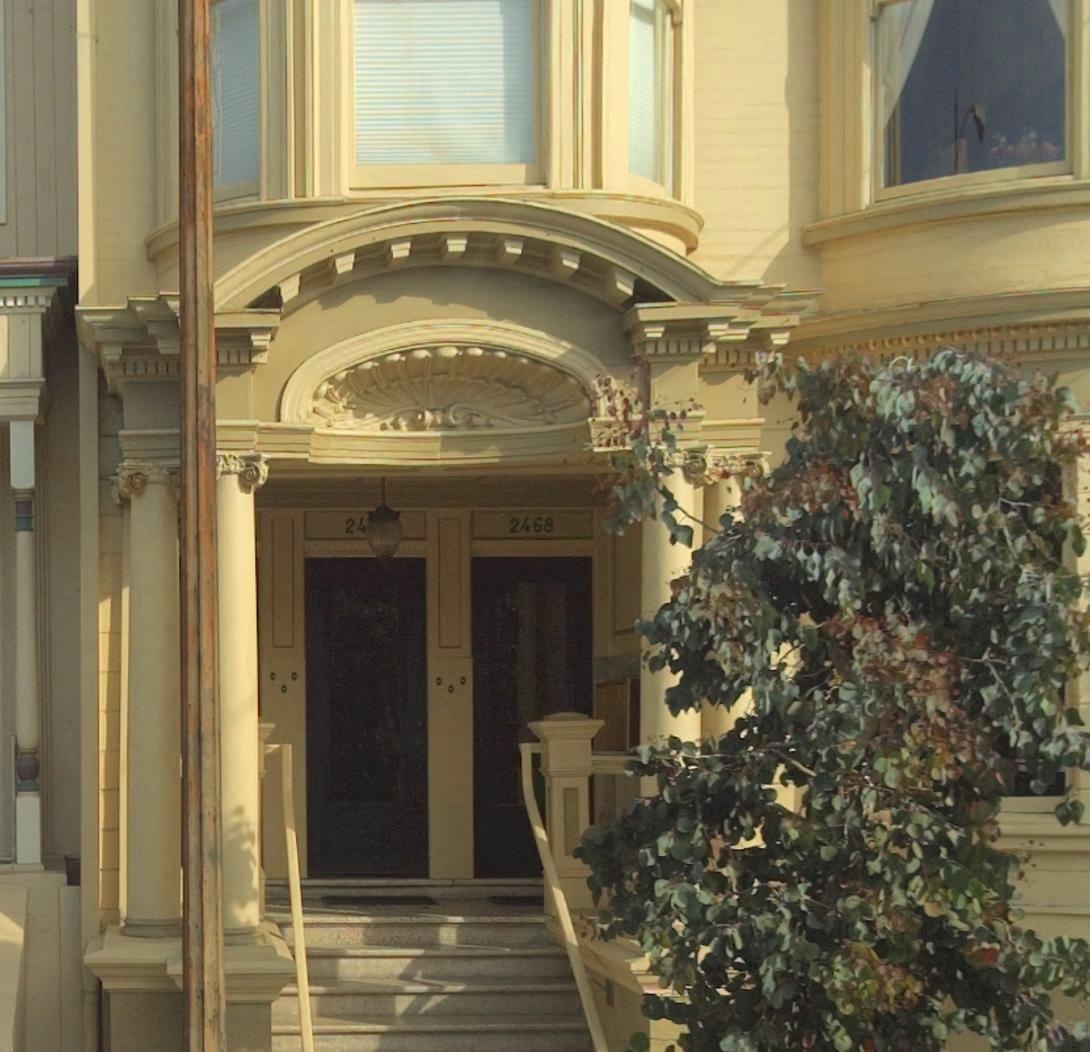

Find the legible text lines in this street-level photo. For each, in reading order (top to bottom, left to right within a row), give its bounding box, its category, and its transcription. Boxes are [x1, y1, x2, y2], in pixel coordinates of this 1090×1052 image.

[342, 515, 370, 537] StreetNumber: 24
[508, 513, 556, 535] StreetNumber: 2468